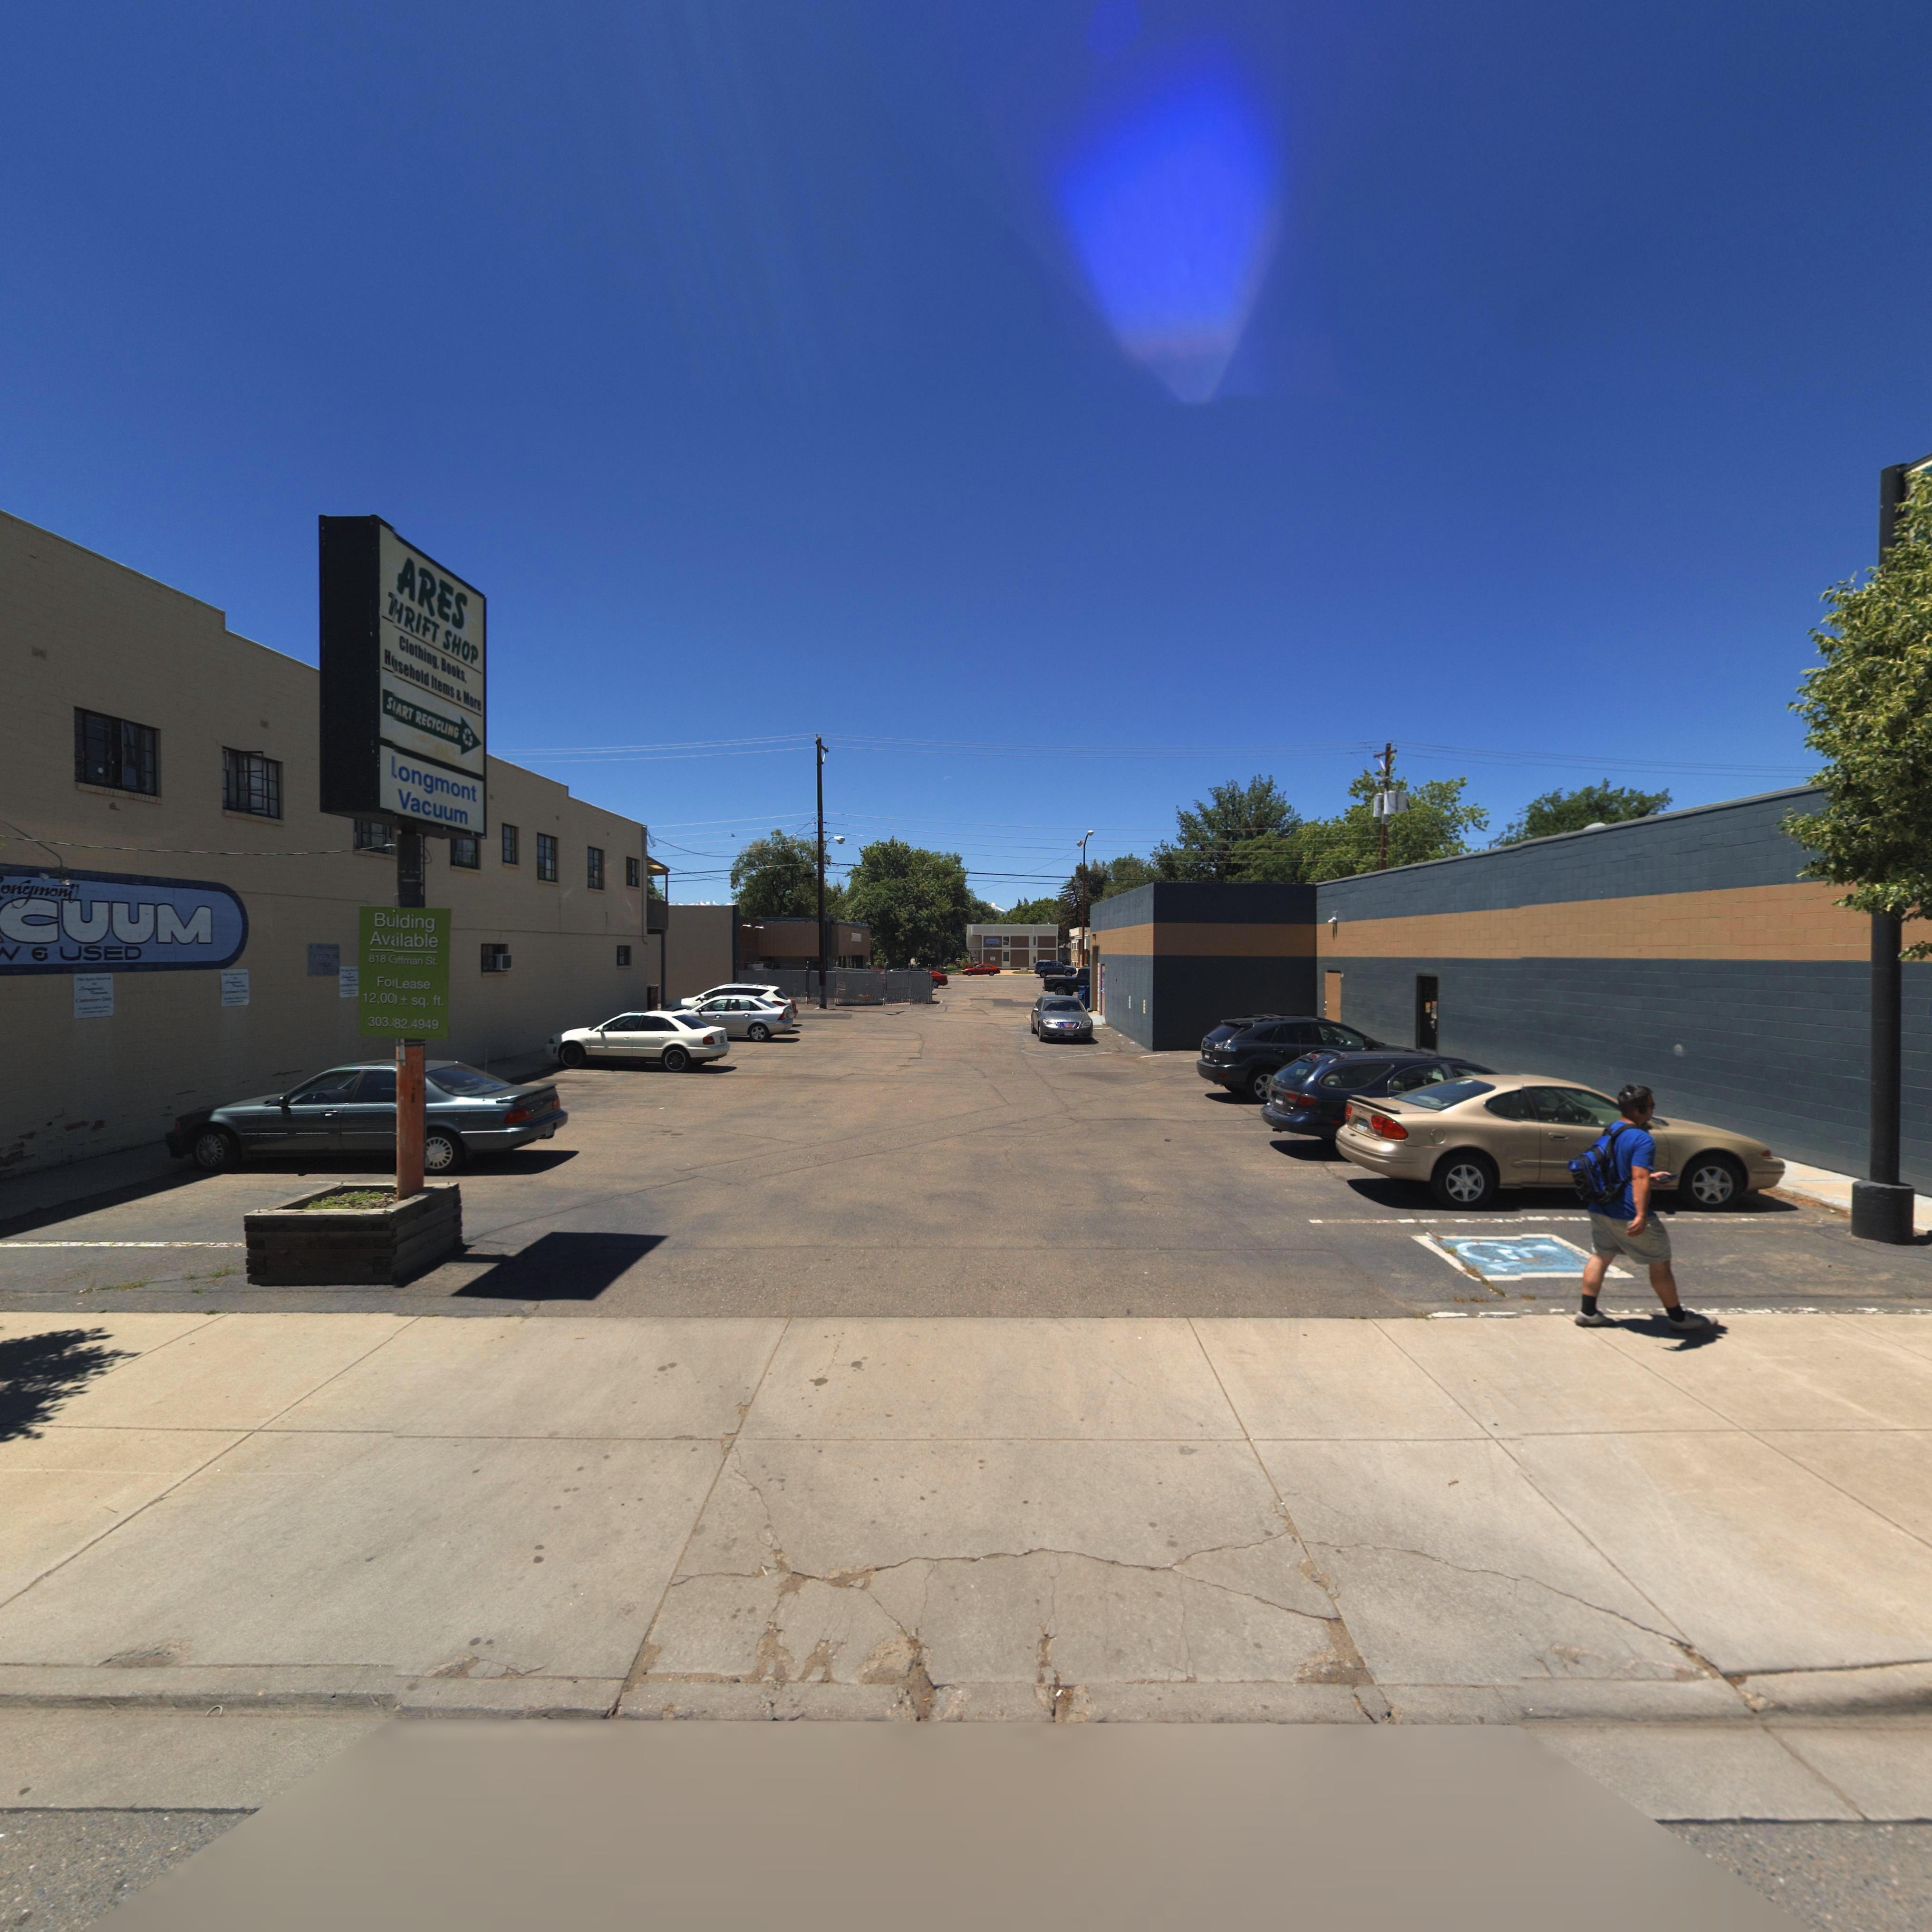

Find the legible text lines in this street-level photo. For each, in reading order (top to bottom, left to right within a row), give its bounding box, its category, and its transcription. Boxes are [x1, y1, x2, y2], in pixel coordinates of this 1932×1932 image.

[396, 557, 468, 630] BusinessName: ARES
[387, 591, 479, 665] BusinessName: *HRIFT SHOP
[391, 754, 477, 803] BusinessName: Longmont
[397, 788, 468, 825] BusinessName: Vacuum
[0, 879, 79, 906] BusinessName: ongmont
[0, 897, 211, 943] BusinessName: CUUM
[368, 954, 386, 963] StreetNumber: 818
[388, 954, 438, 965] StreetName: C*ffman St